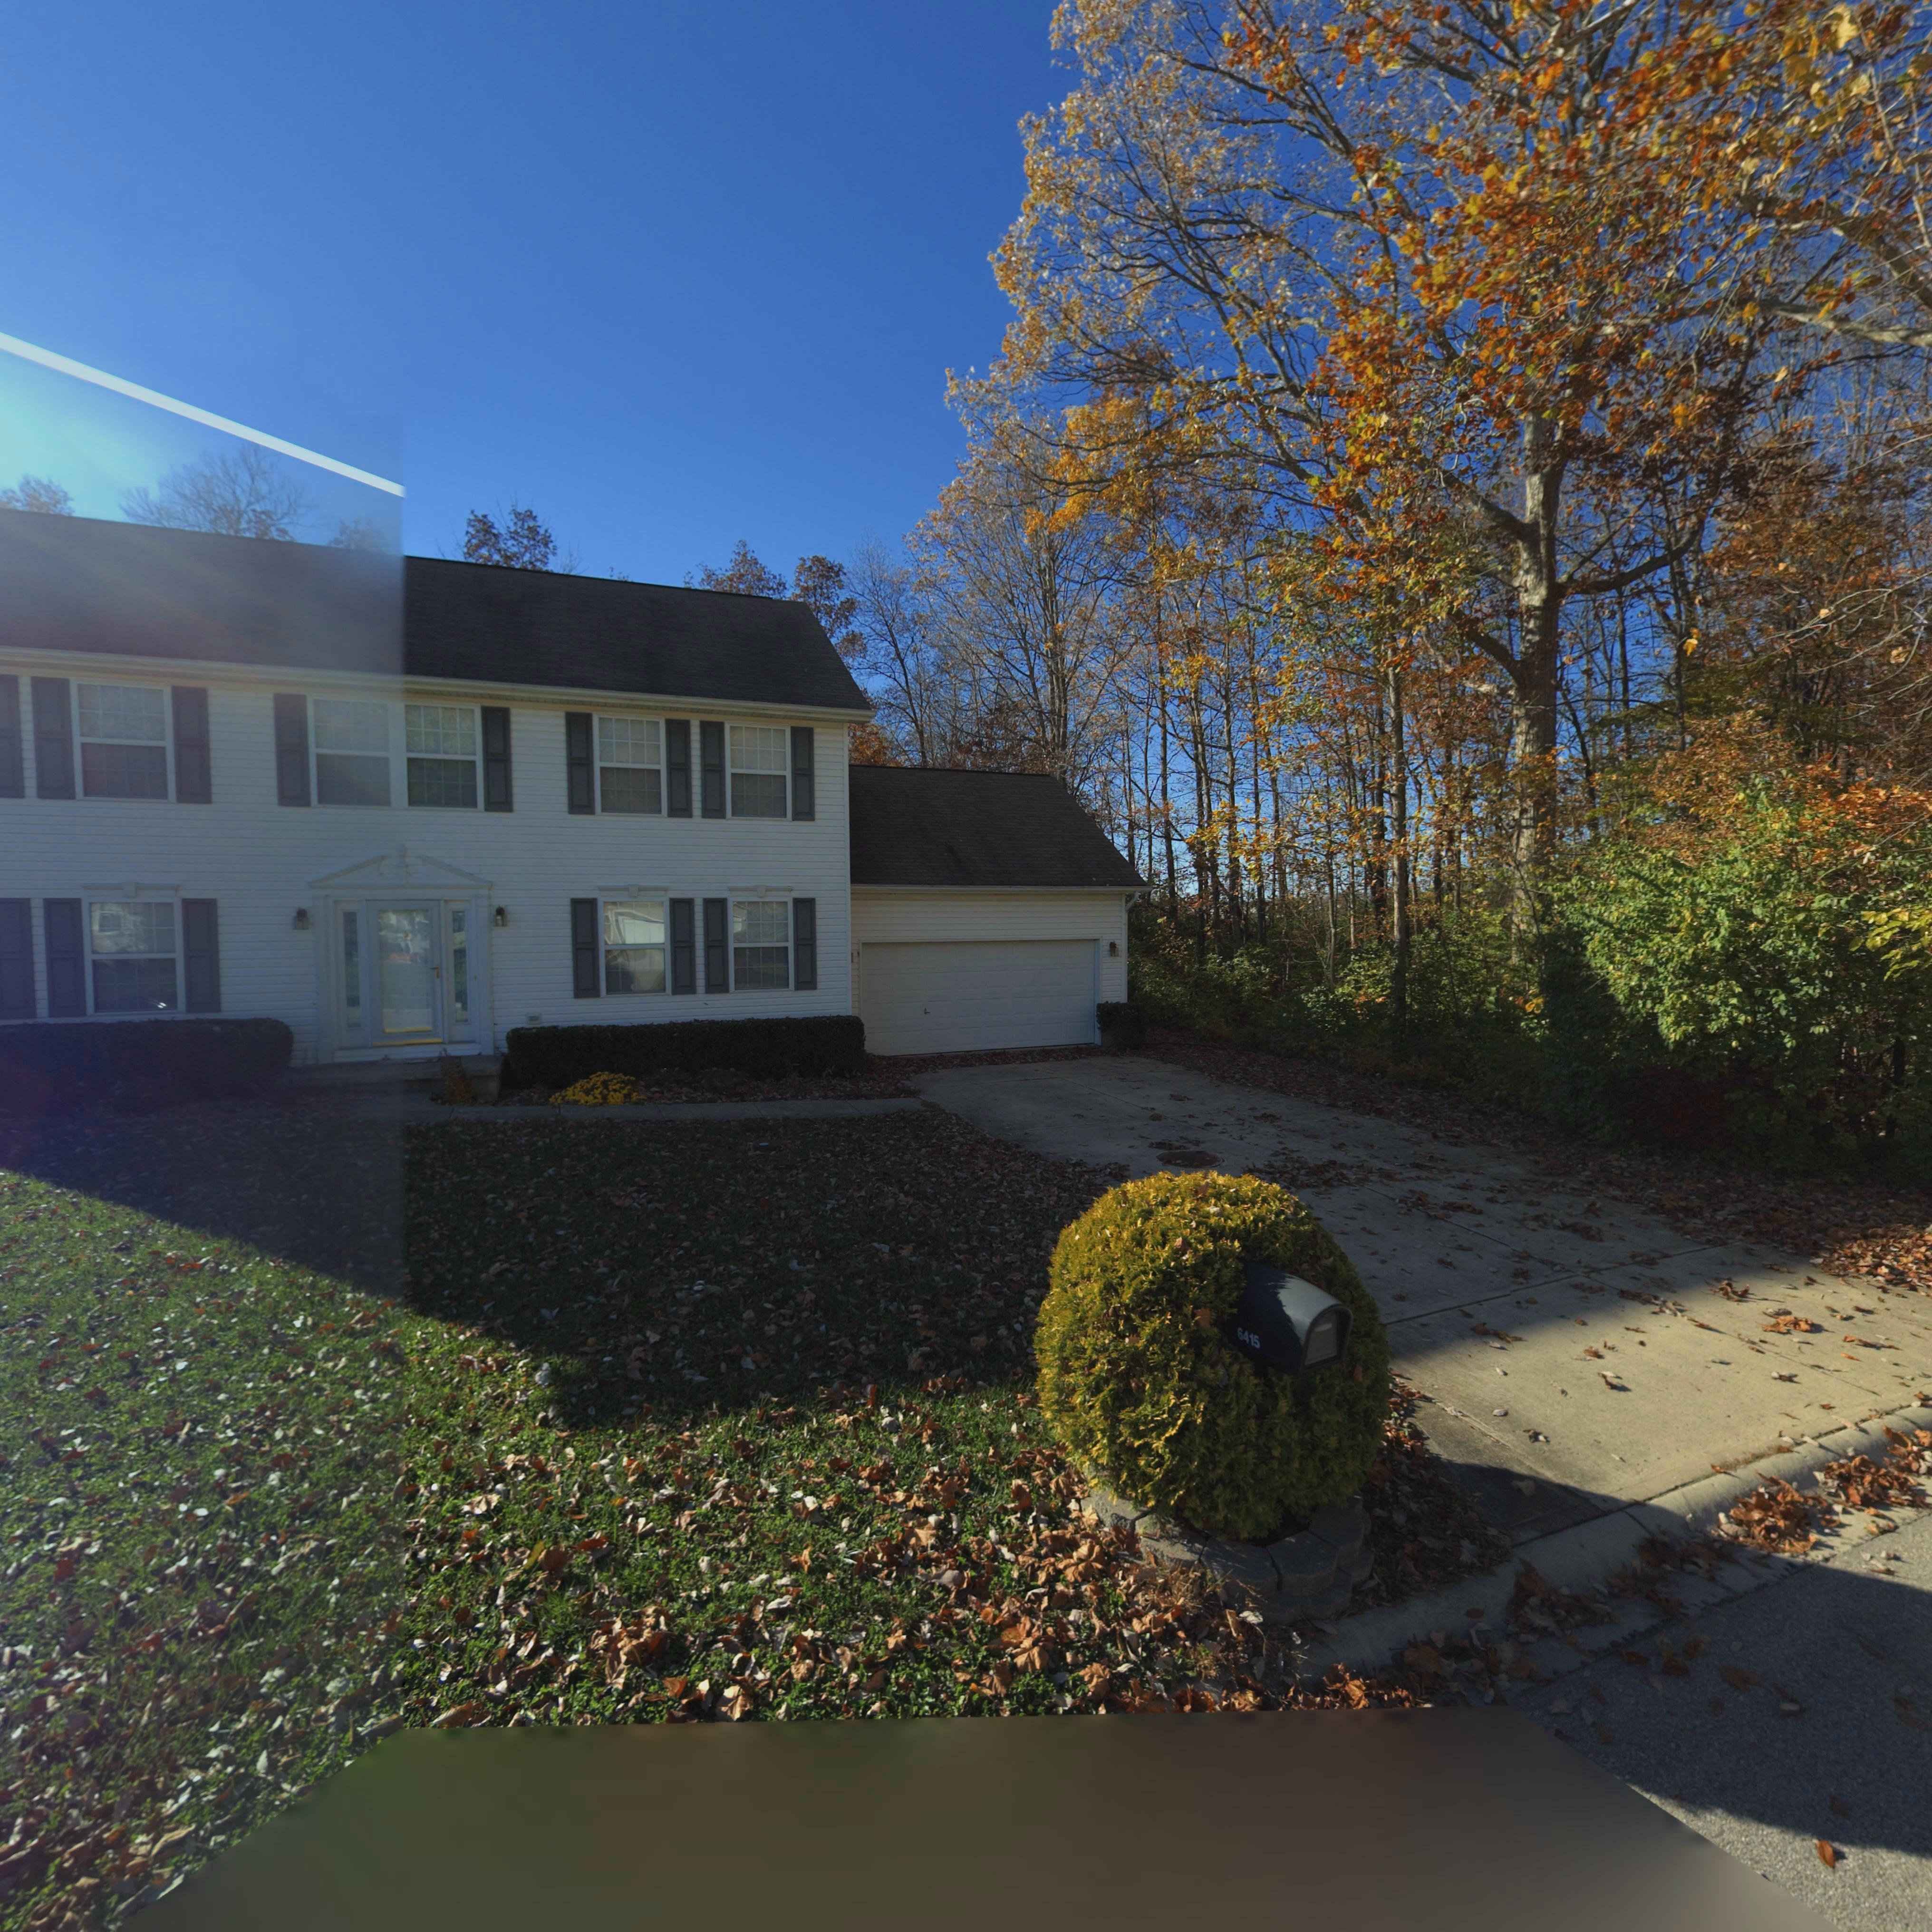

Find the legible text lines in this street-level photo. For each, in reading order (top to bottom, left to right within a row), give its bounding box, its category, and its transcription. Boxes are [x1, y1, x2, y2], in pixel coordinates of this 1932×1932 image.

[1236, 1326, 1261, 1350] StreetNumber: 6415